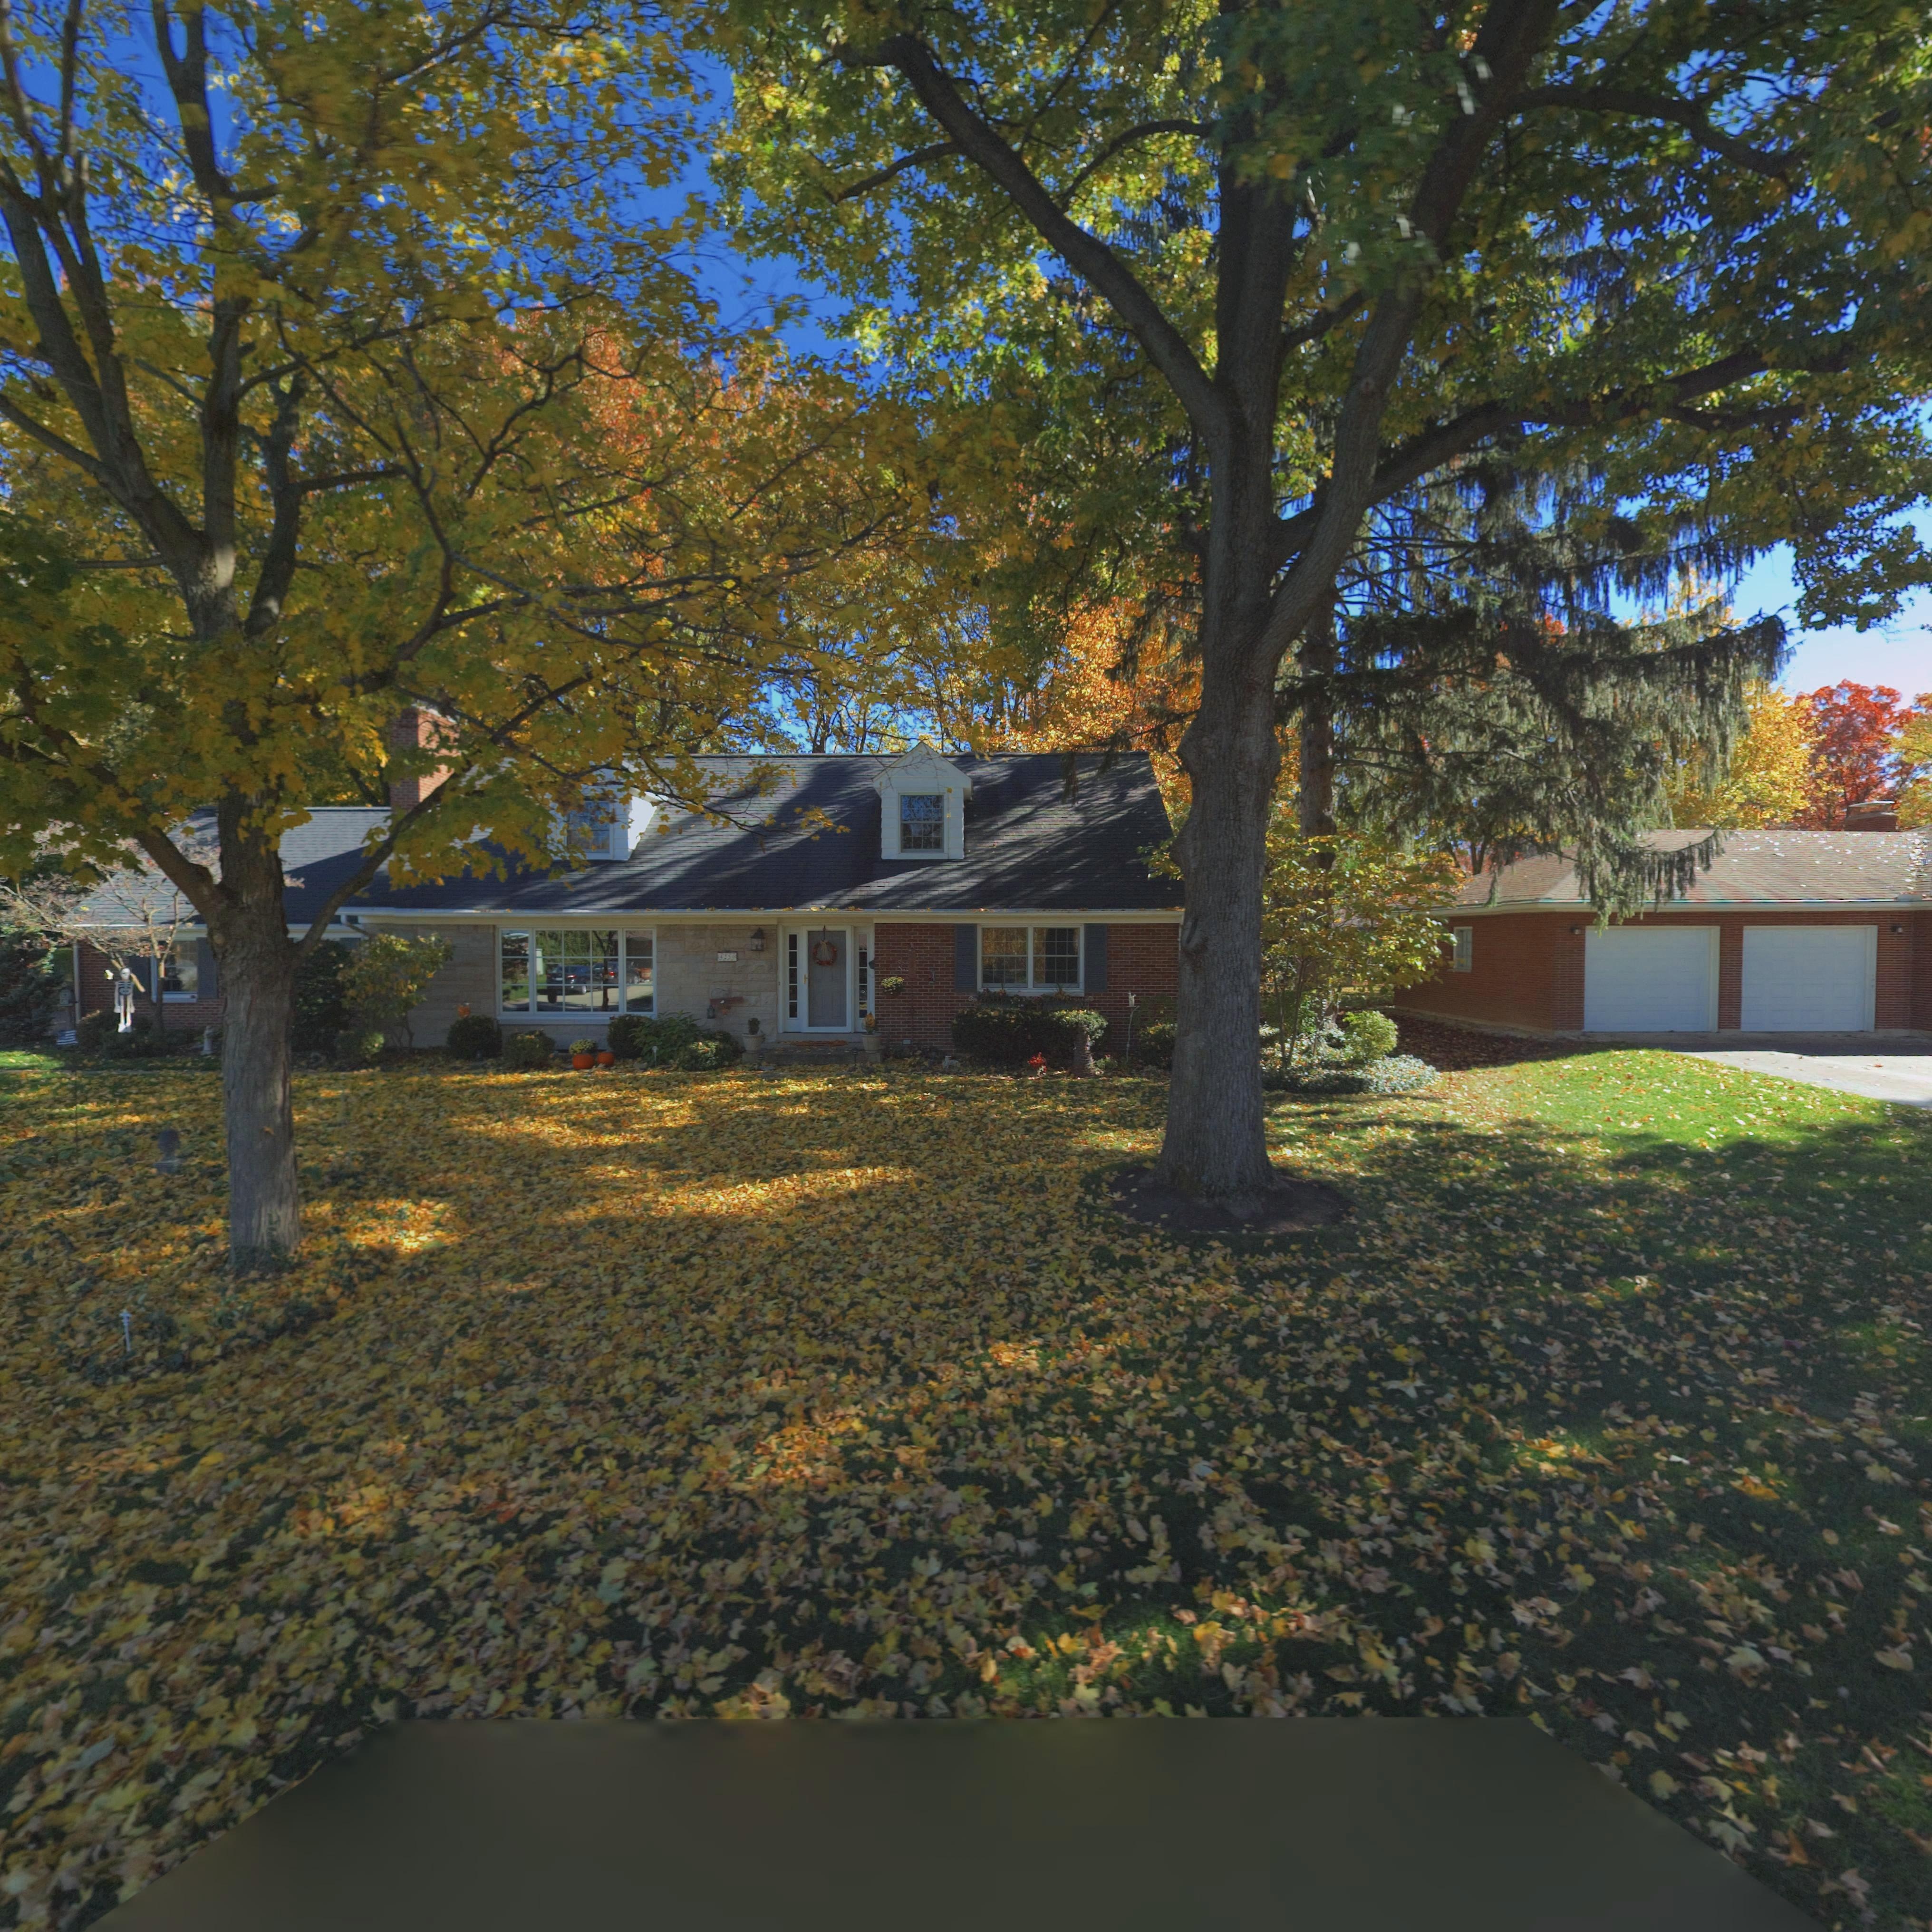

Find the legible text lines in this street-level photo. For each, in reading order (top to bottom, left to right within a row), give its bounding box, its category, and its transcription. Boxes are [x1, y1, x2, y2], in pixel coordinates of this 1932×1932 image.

[719, 954, 735, 960] StreetNumber: 4250